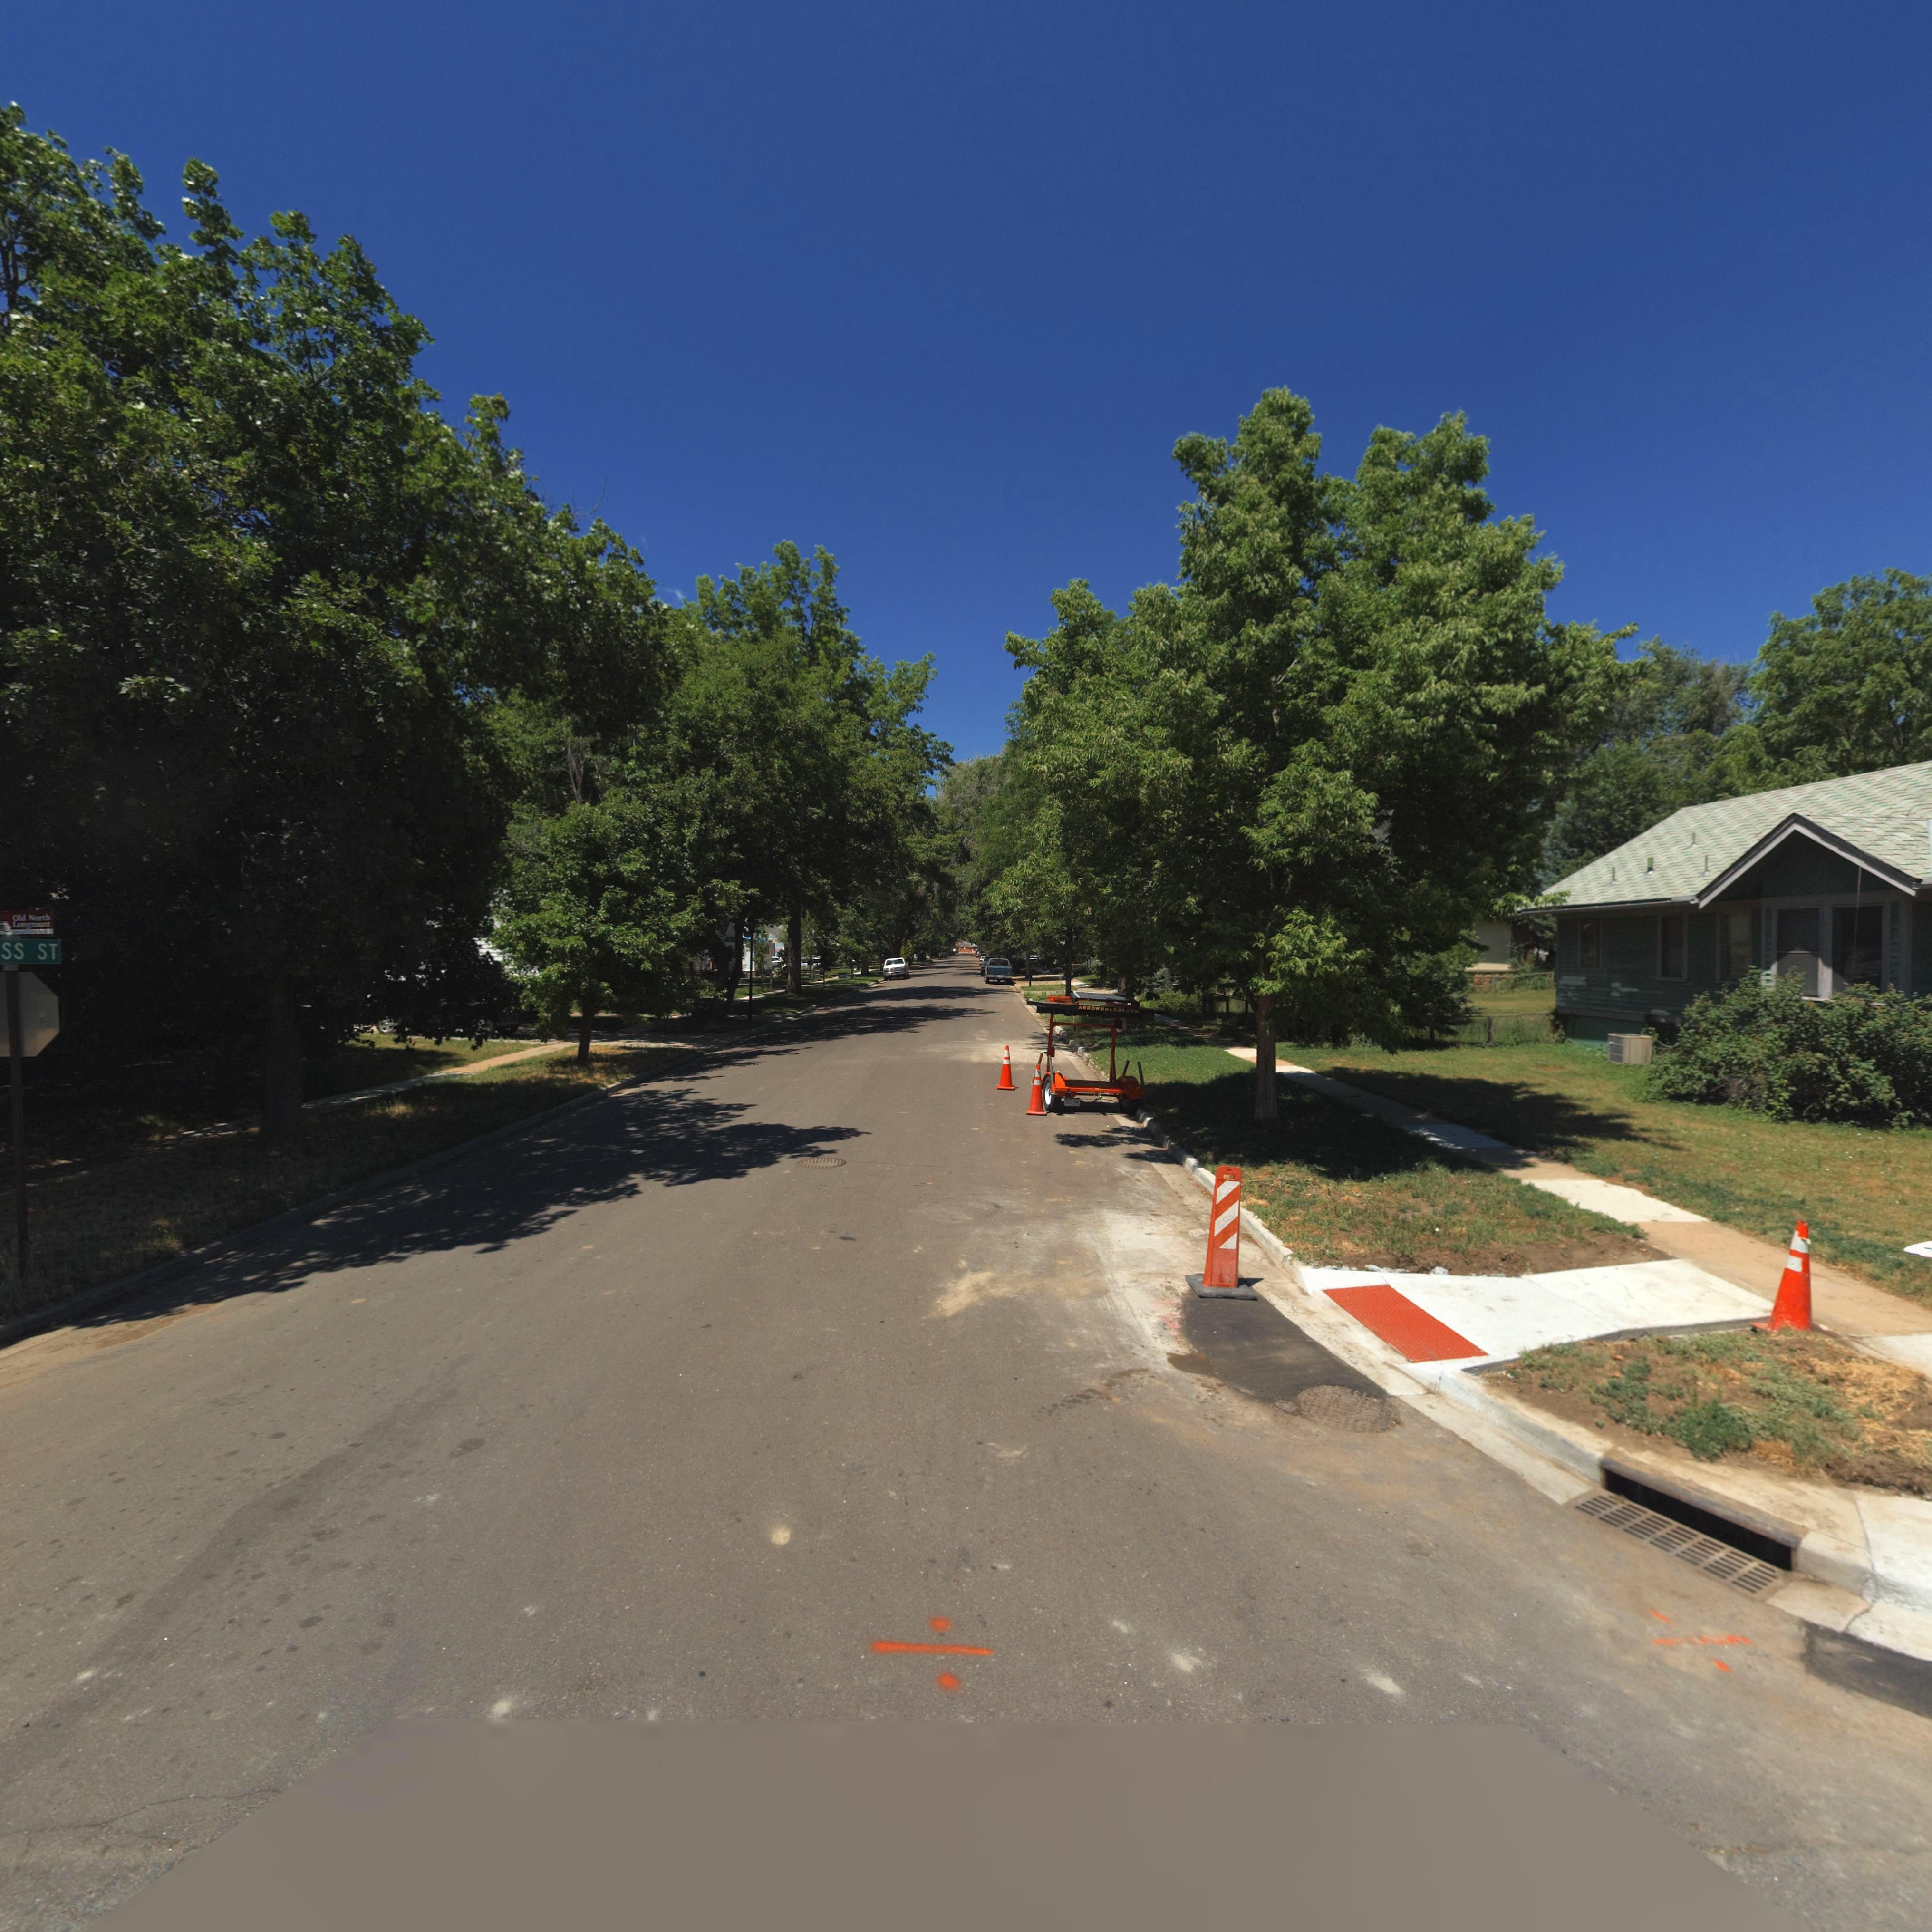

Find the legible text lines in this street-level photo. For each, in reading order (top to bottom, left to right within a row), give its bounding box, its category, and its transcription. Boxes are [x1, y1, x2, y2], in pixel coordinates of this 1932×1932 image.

[0, 941, 58, 960] StreetNumber: SS ST